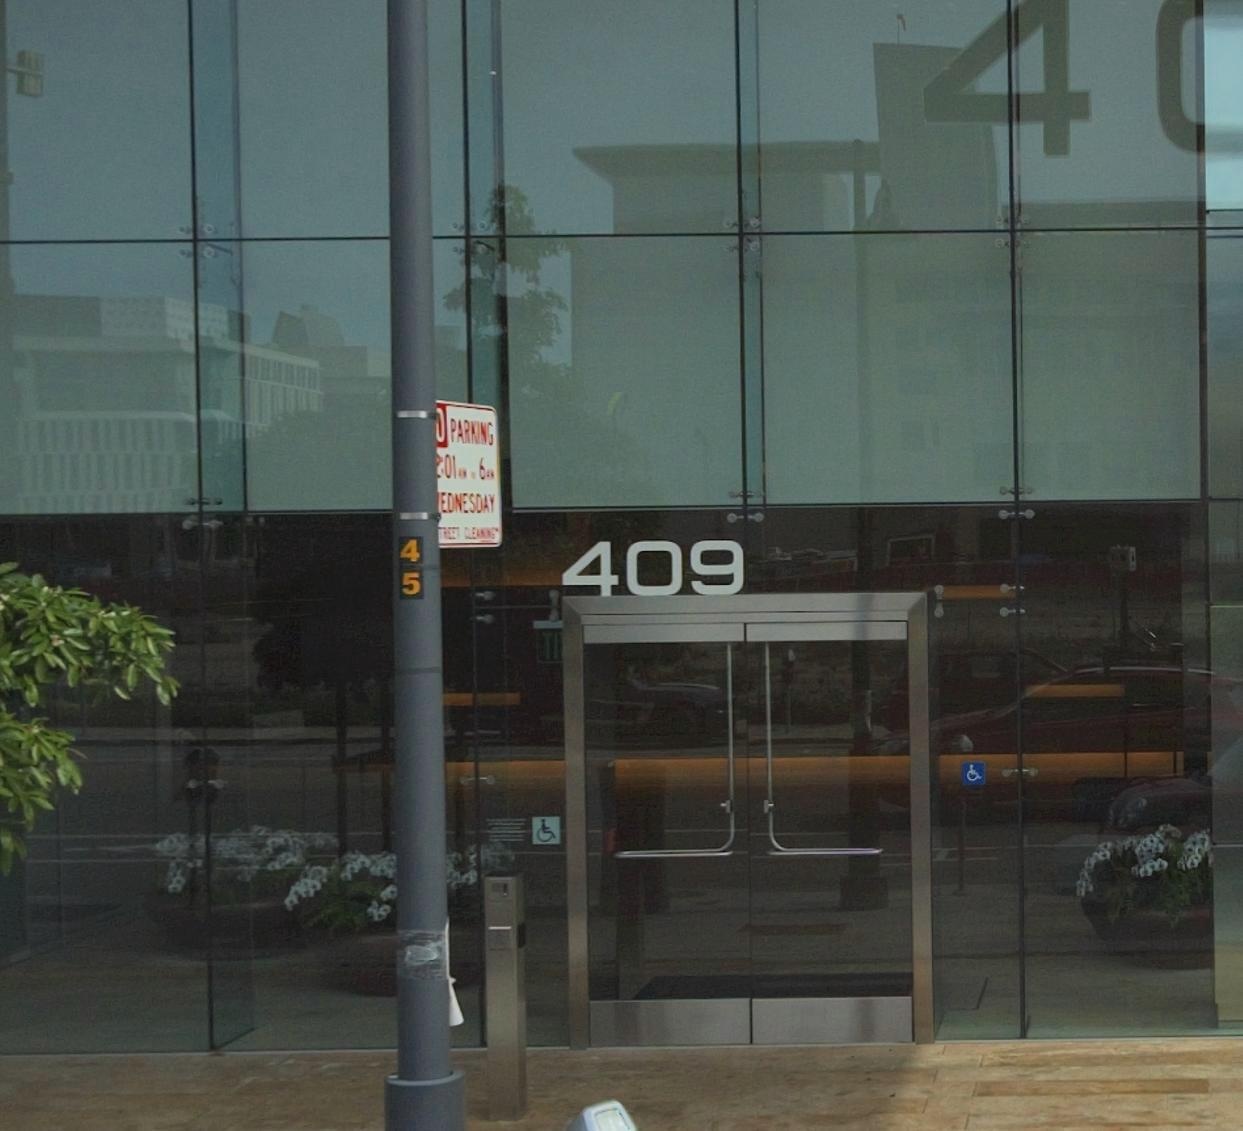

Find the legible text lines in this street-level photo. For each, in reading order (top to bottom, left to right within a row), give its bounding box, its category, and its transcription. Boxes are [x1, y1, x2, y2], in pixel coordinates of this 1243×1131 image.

[560, 539, 746, 598] StreetNumber: 409